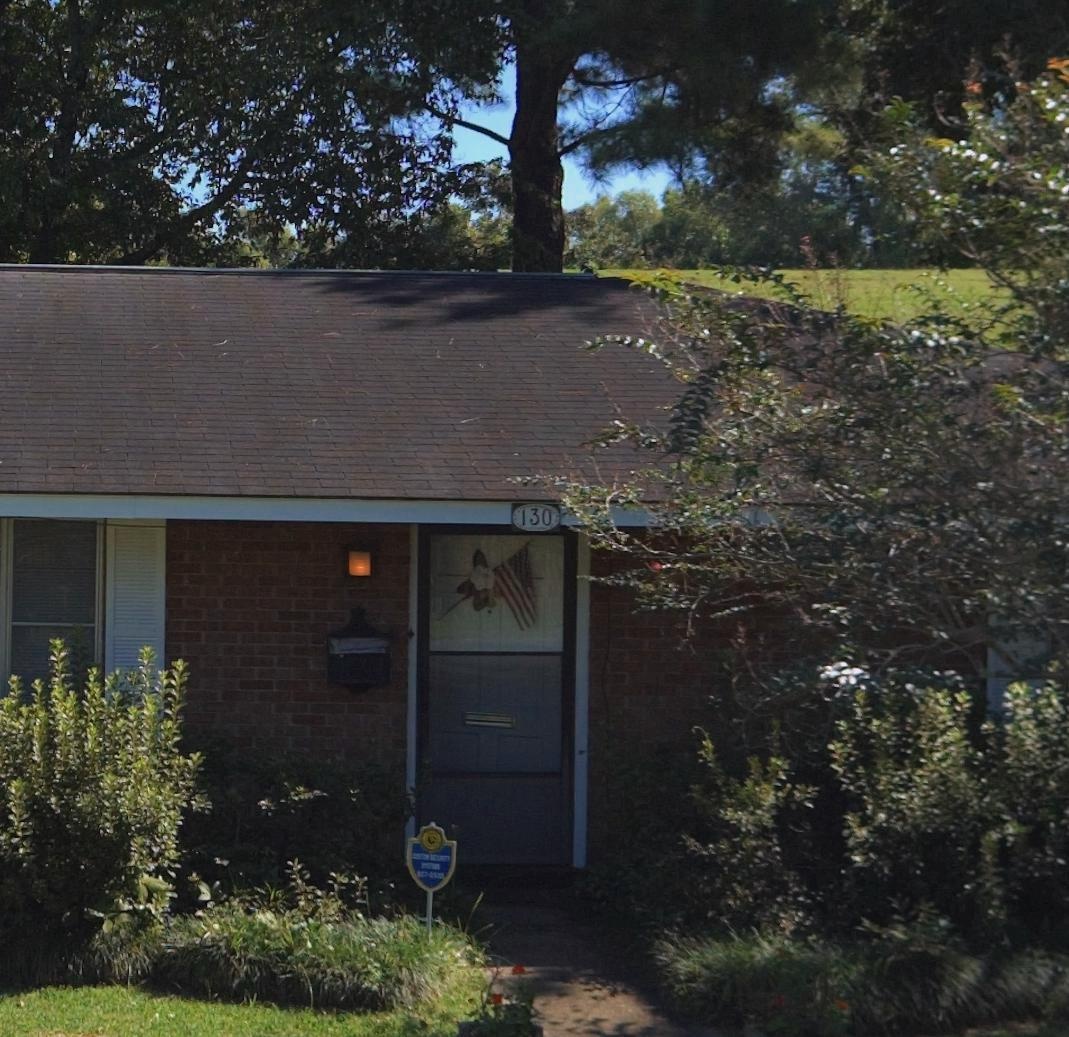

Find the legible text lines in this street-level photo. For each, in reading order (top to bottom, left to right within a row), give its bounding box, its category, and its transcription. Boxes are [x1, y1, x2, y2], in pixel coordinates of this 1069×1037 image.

[520, 507, 553, 527] StreetNumber: 130